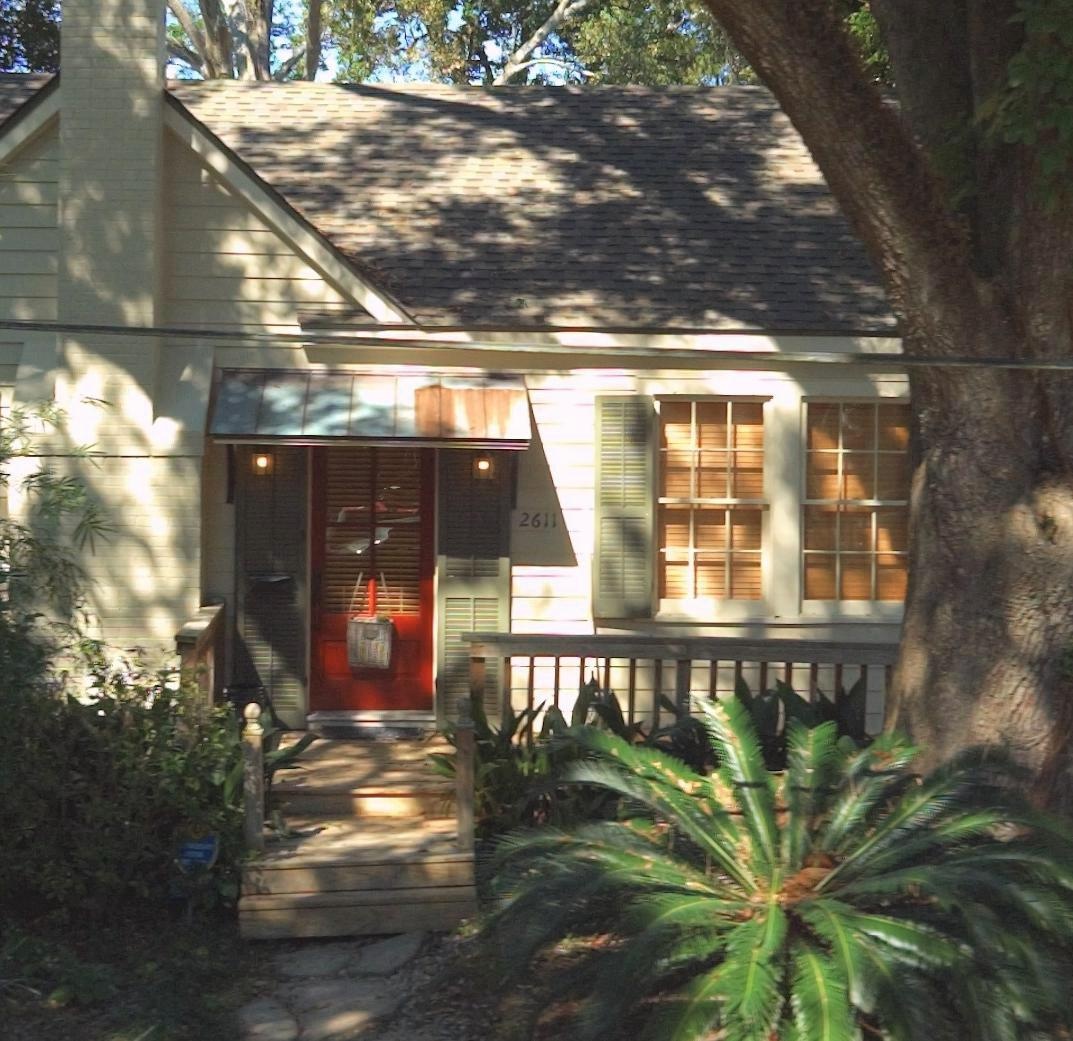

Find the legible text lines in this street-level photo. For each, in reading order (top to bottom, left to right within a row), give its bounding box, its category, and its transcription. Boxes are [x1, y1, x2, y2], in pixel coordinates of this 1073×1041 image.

[517, 510, 559, 530] StreetNumber: 2611